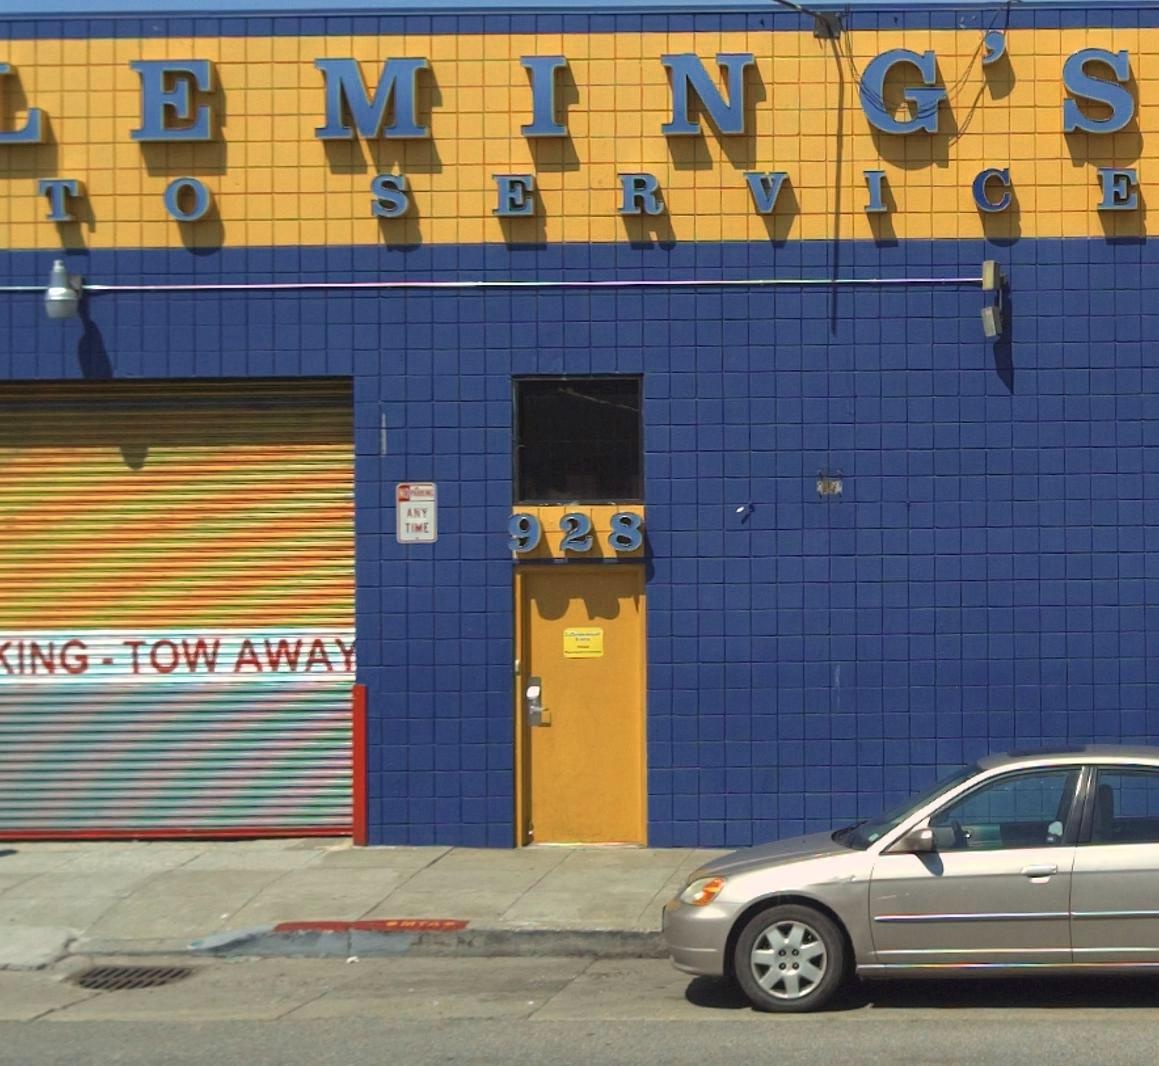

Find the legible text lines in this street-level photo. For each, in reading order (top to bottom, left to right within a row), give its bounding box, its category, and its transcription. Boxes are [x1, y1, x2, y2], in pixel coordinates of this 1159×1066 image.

[125, 26, 1142, 144] BusinessName: EMING'S
[36, 166, 1142, 225] None: TO SERVICE
[405, 507, 428, 518] None: ANY
[405, 522, 430, 534] None: TIME
[505, 511, 643, 554] StreetNumber: 928
[15, 635, 360, 676] None: ING - TOW AWAY